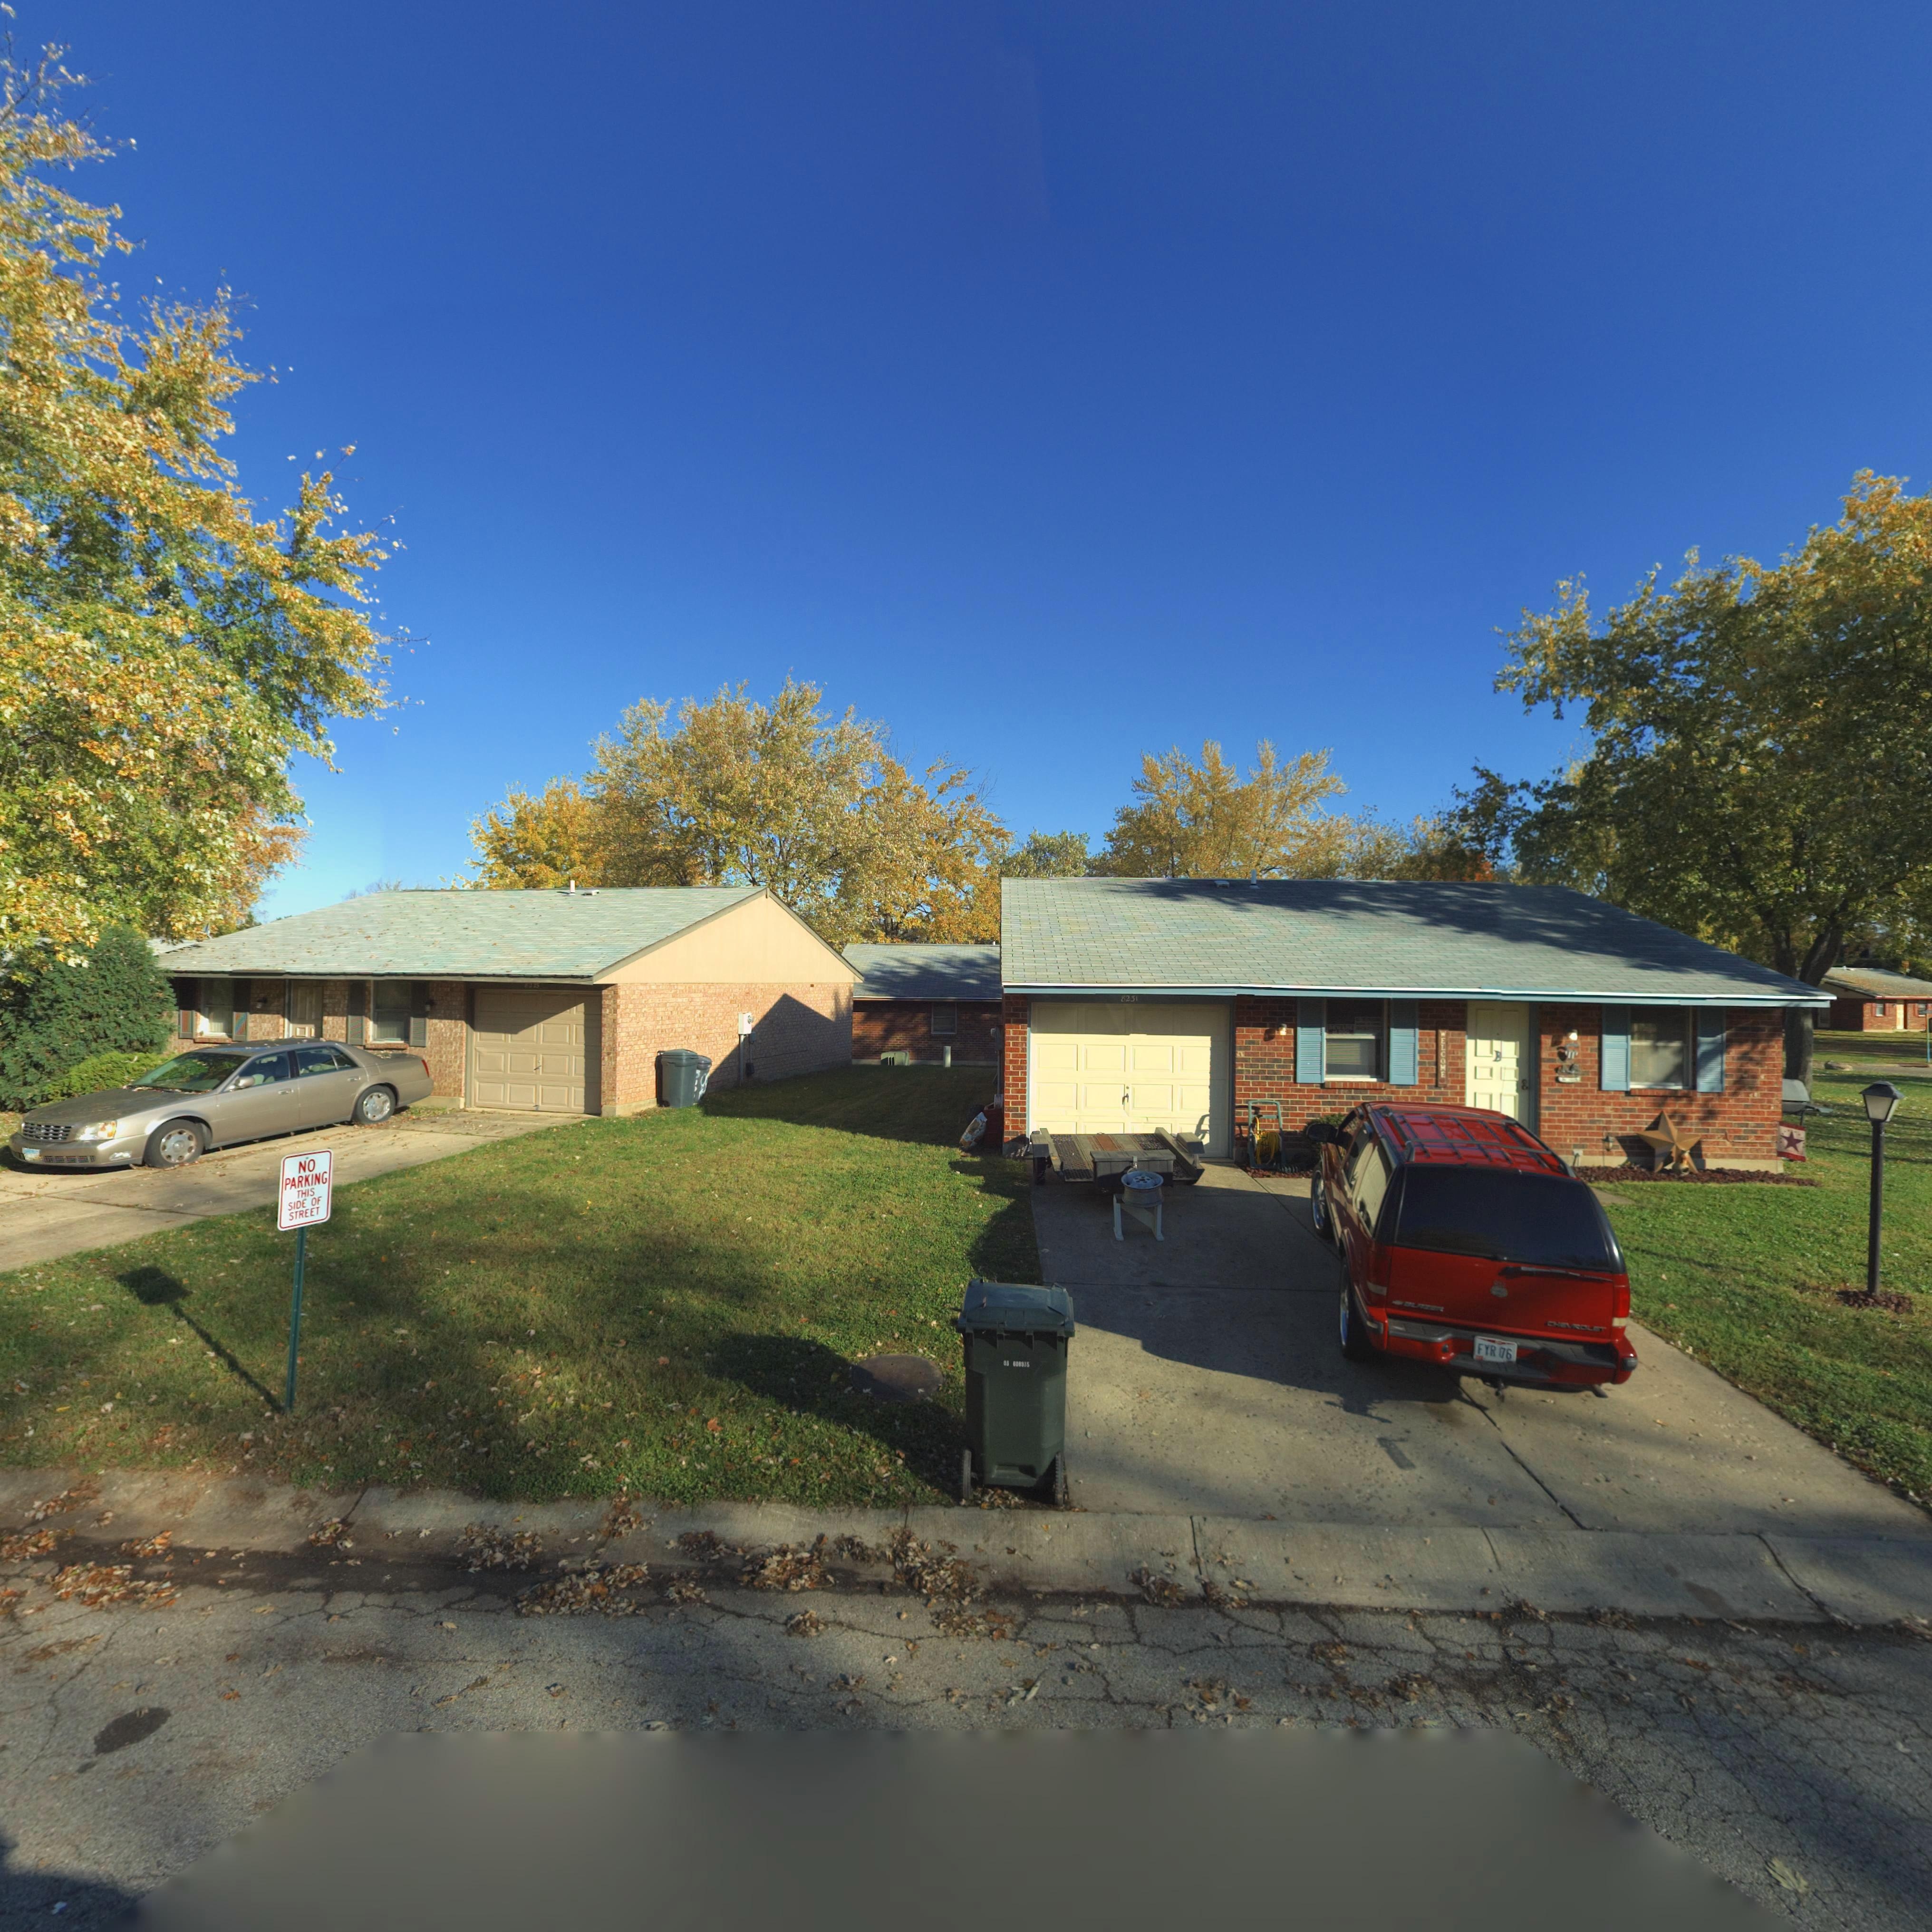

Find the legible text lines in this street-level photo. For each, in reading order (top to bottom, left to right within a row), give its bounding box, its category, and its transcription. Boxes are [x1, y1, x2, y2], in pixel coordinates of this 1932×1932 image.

[523, 982, 540, 989] StreetNumber: 822*
[1120, 995, 1138, 1003] StreetNumber: 8231